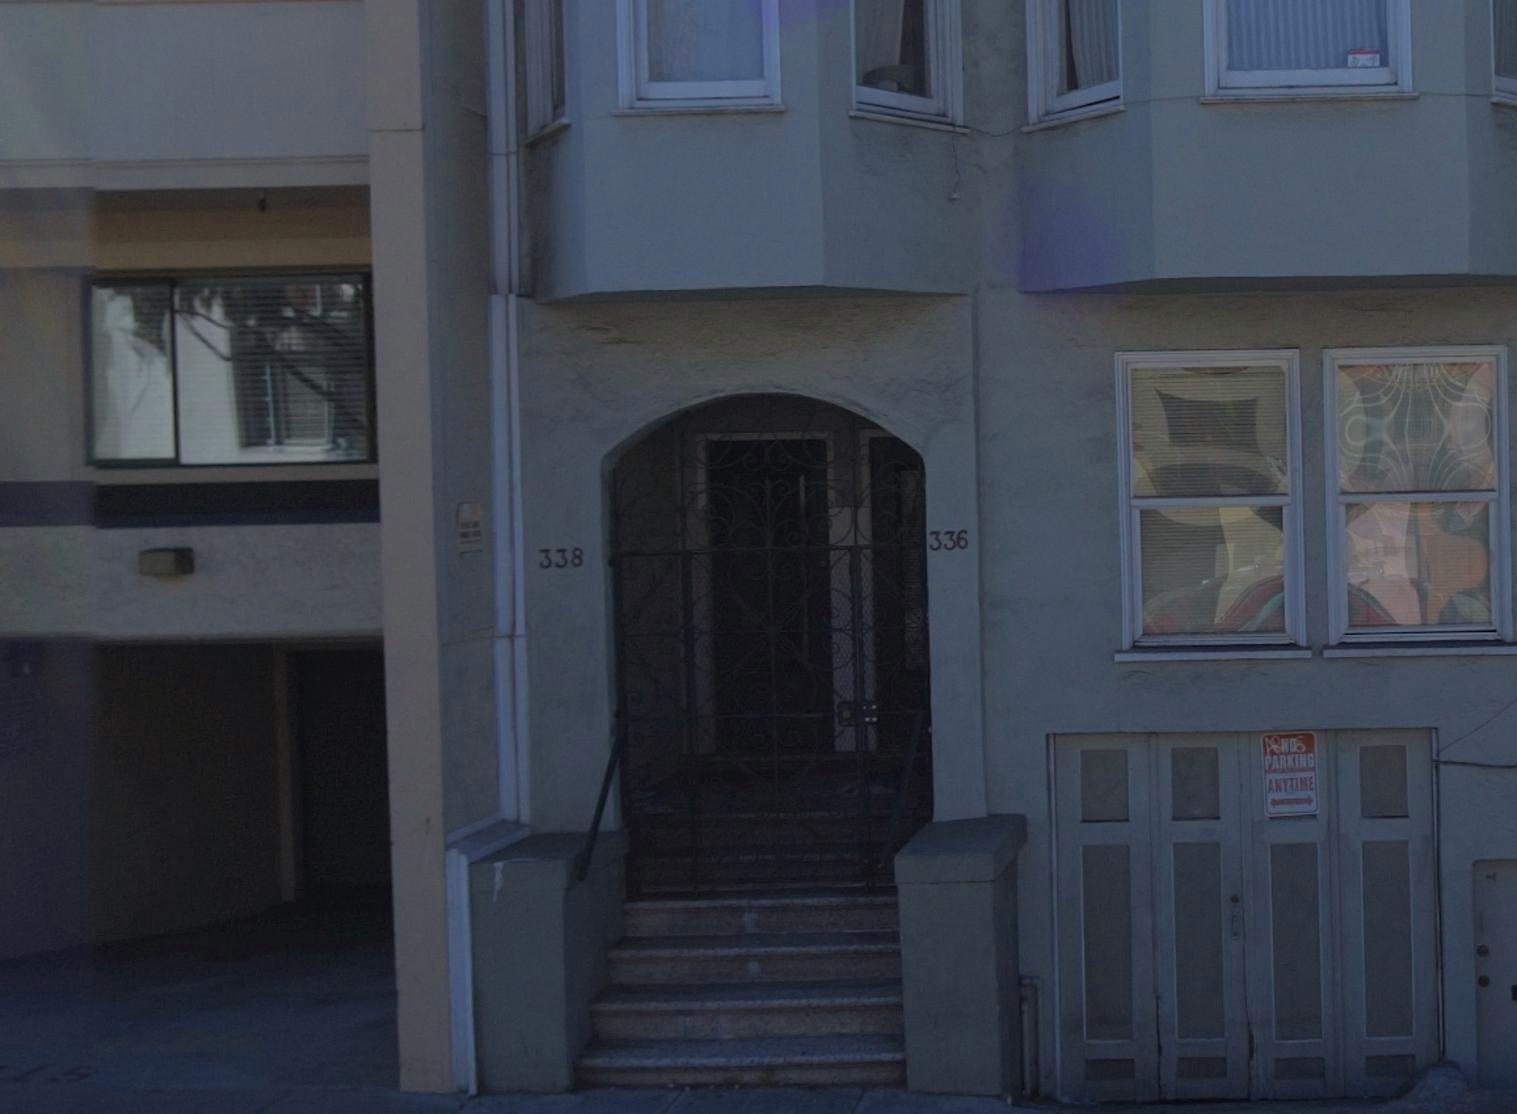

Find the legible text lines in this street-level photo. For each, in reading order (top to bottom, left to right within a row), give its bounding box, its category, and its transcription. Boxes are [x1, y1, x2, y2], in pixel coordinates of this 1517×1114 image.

[928, 527, 970, 552] StreetNumber: 336
[537, 547, 584, 569] StreetNumber: 338
[1280, 738, 1297, 754] None: NO
[1263, 753, 1315, 771] None: PARKING
[1266, 776, 1315, 794] None: ANYTIME